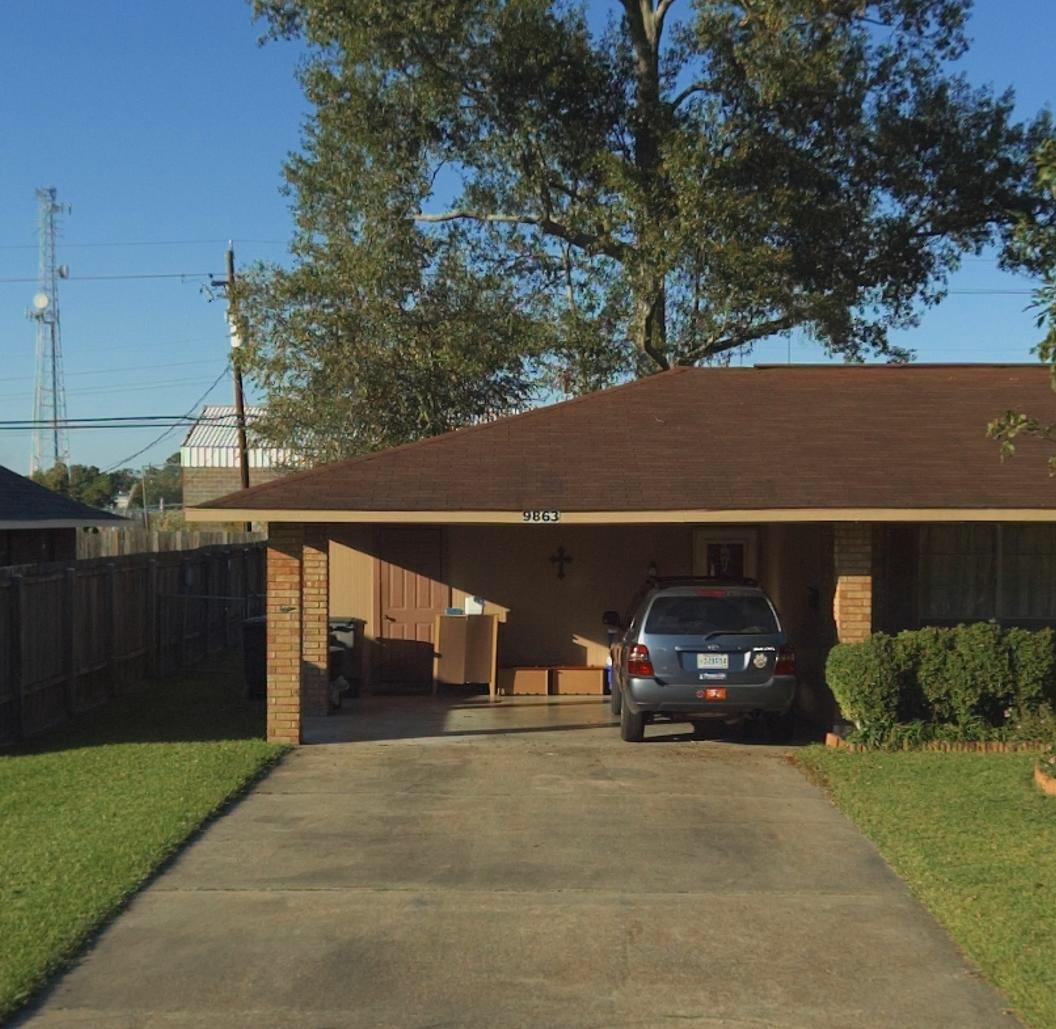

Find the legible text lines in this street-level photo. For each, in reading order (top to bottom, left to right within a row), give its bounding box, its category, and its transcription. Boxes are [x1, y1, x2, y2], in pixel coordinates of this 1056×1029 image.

[521, 510, 560, 523] StreetNumber: 9863